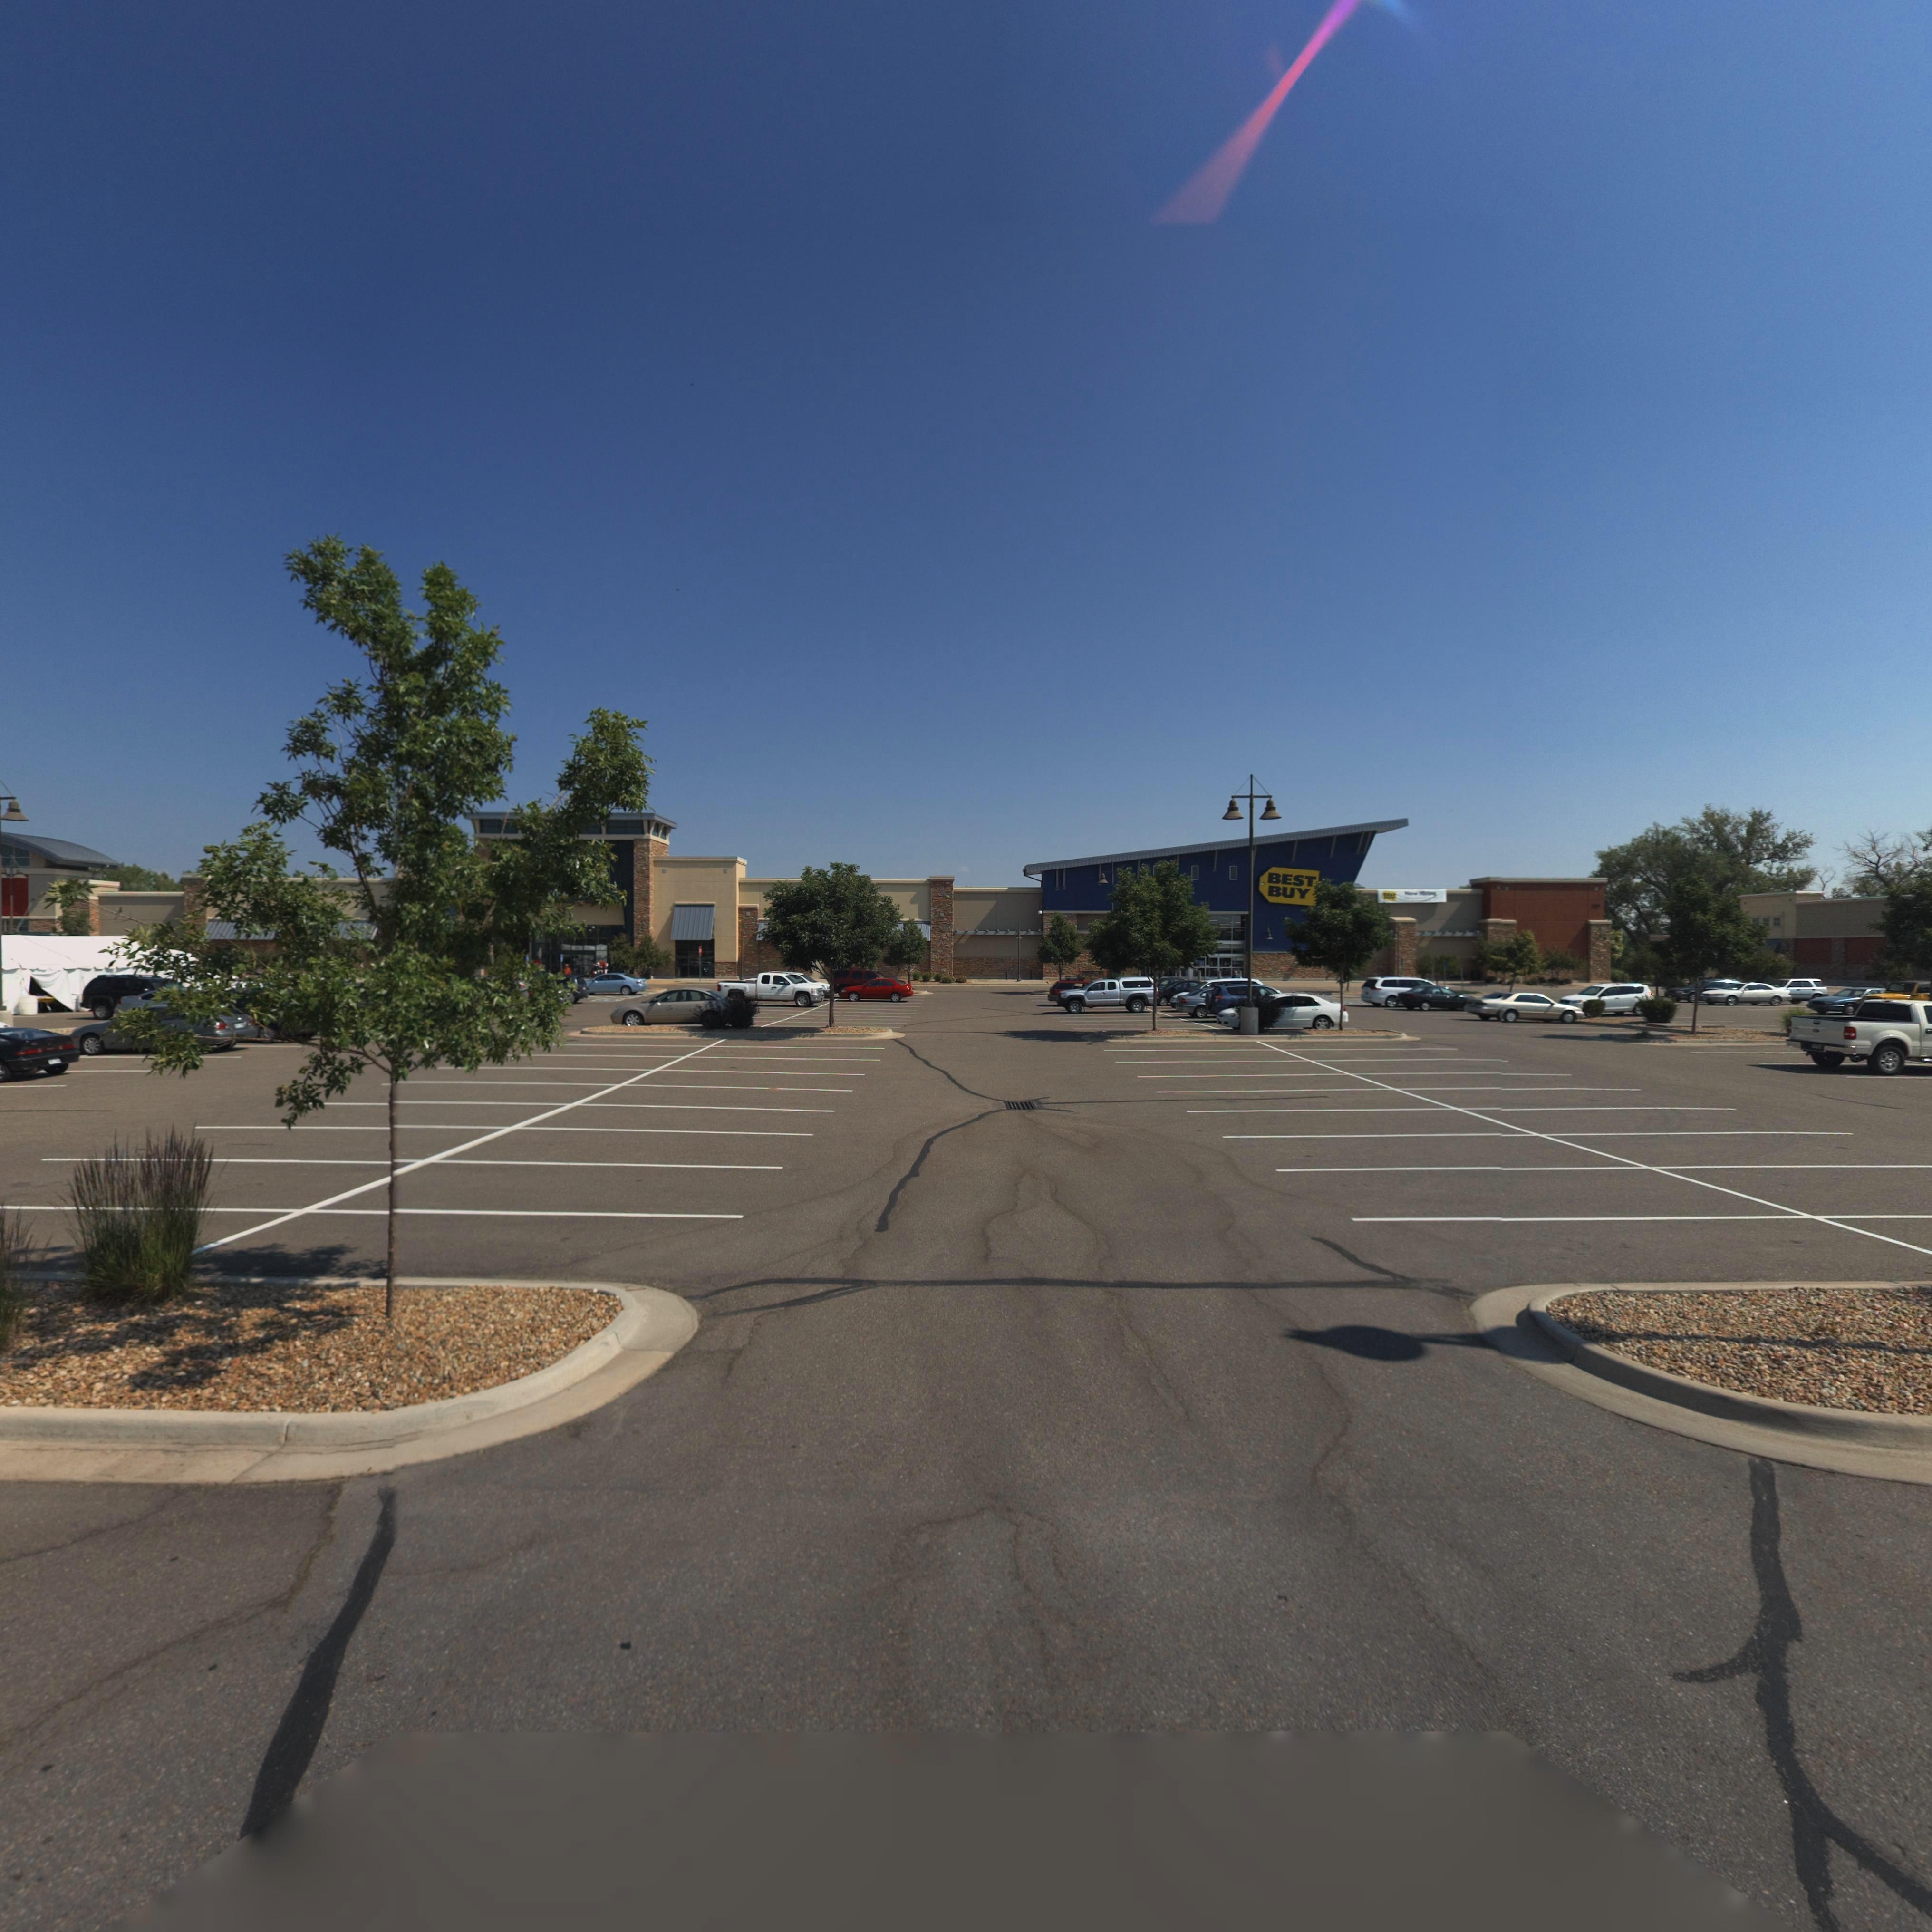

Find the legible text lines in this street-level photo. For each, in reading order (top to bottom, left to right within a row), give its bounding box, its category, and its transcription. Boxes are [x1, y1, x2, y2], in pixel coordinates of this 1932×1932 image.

[1267, 872, 1317, 887] BusinessName: BEST
[1267, 885, 1311, 899] BusinessName: BUY